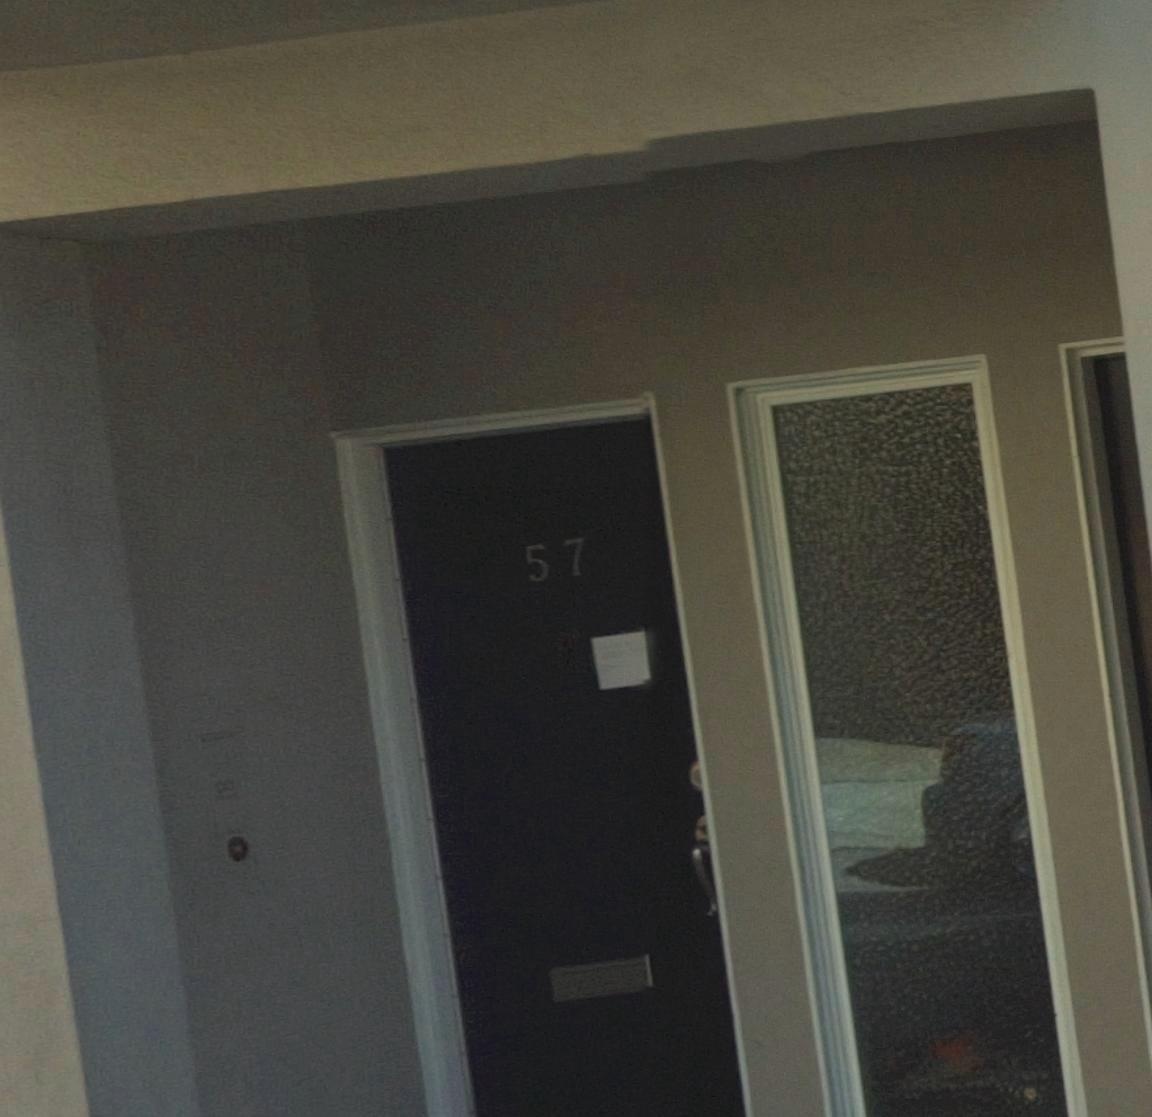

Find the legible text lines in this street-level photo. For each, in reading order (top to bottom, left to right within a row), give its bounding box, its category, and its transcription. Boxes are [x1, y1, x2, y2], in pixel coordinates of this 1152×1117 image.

[523, 534, 589, 586] StreetNumber: 57